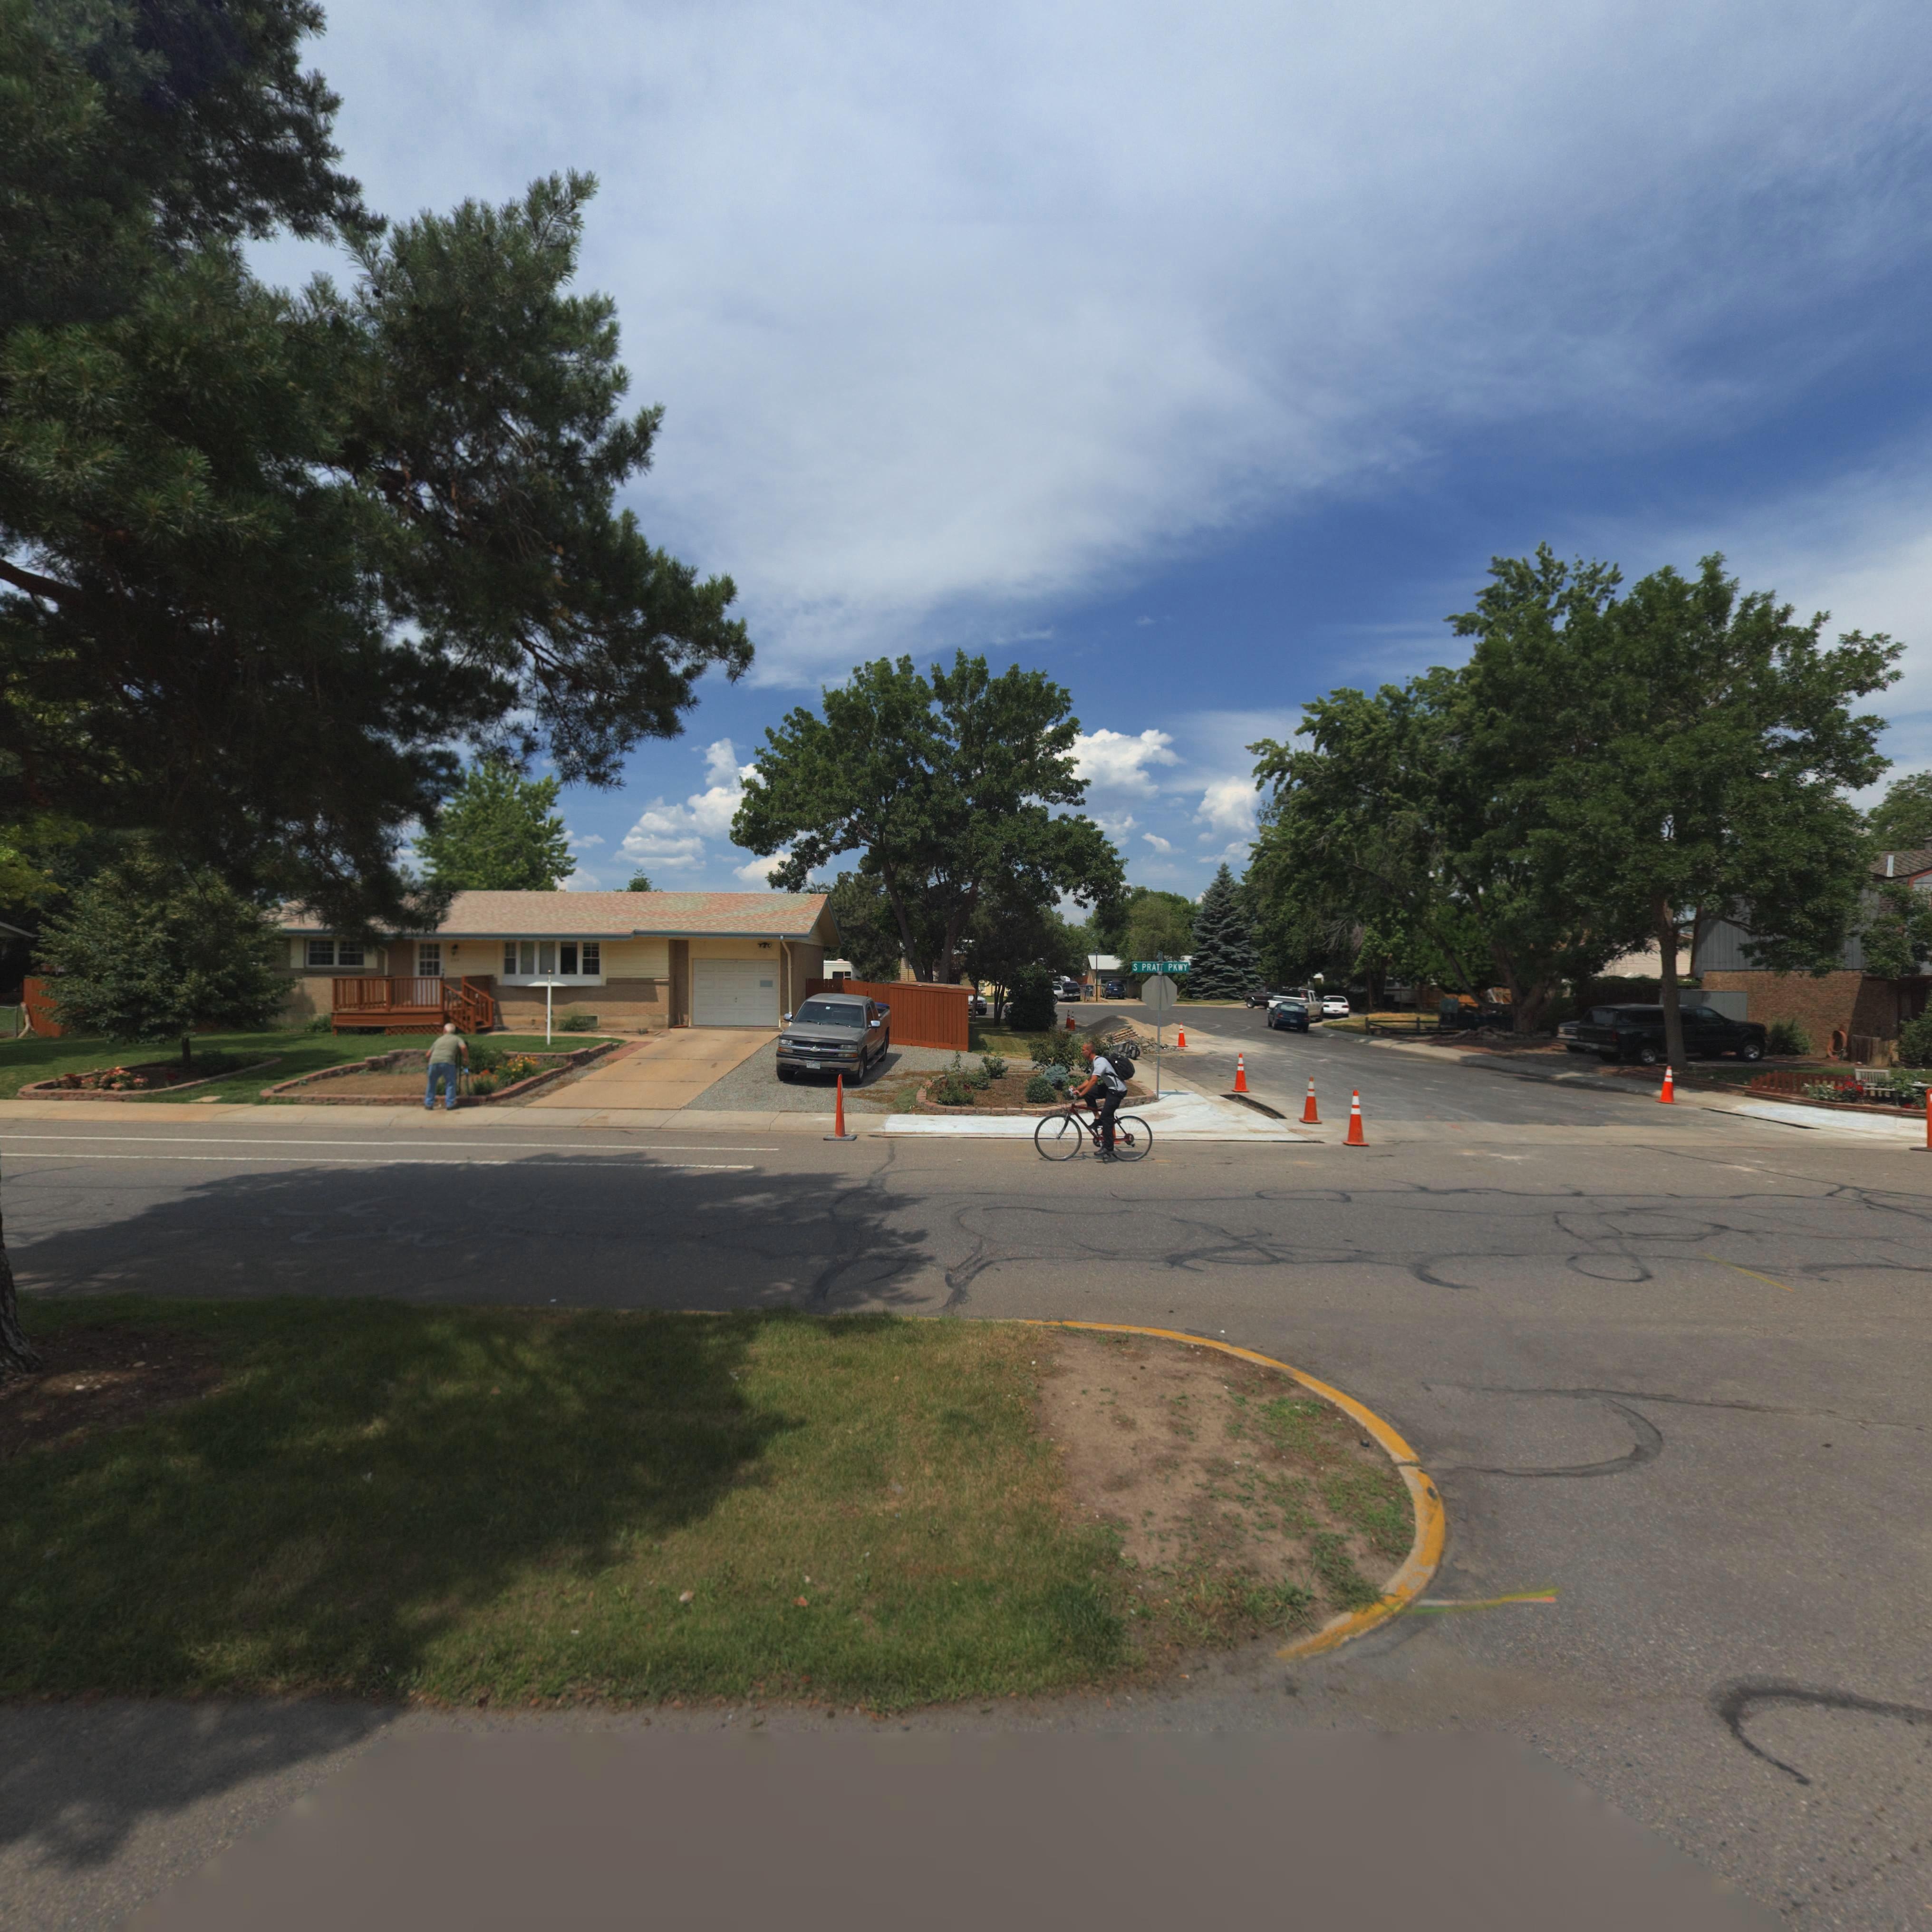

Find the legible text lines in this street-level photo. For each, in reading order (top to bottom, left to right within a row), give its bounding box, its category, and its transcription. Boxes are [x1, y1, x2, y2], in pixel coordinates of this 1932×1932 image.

[1133, 963, 1188, 971] StreetName: S PRATT PKWY